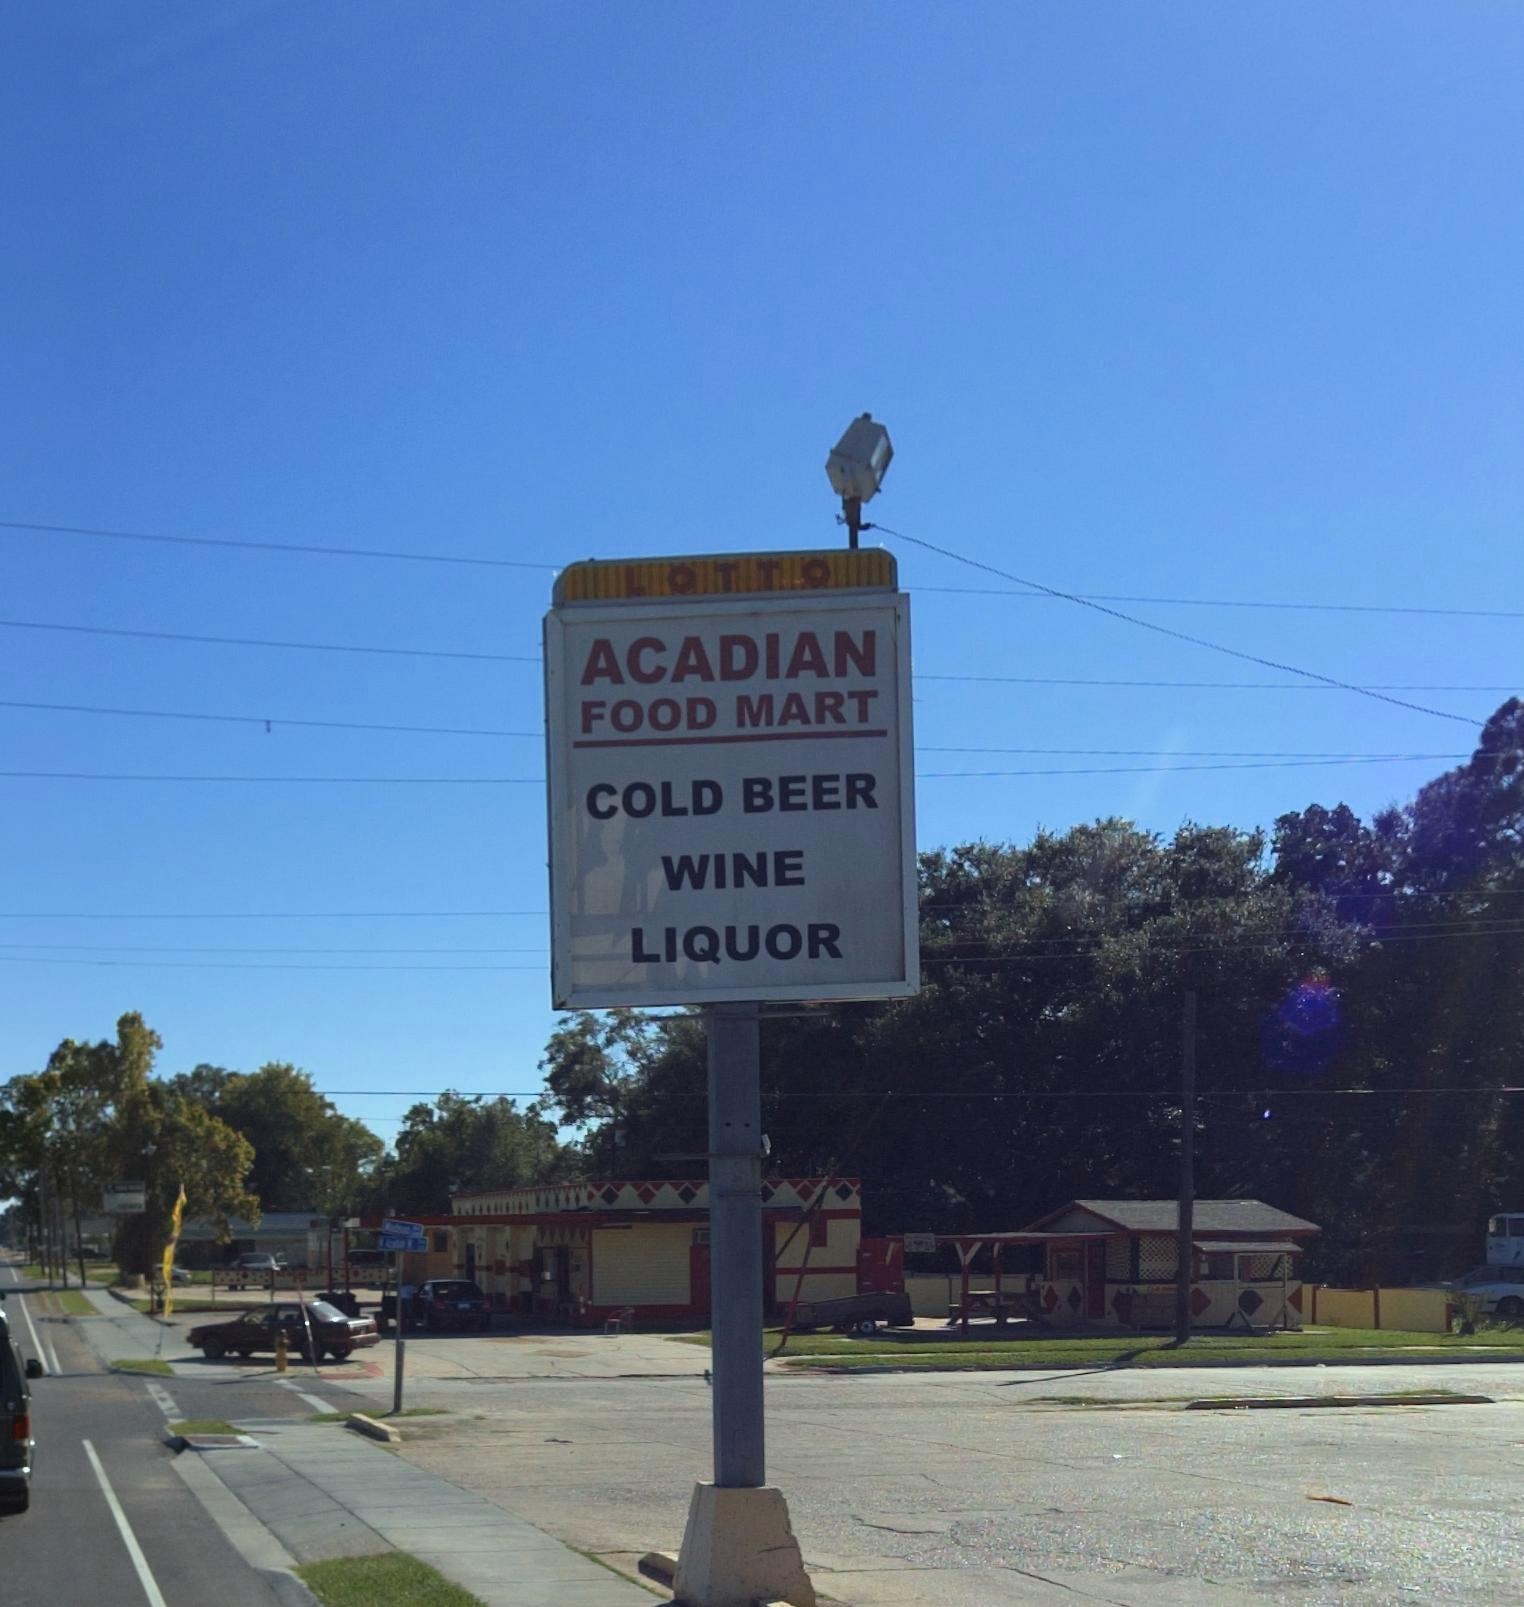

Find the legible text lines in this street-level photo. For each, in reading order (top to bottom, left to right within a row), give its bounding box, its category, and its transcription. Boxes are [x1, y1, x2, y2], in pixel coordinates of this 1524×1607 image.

[619, 551, 836, 601] None: LOTTO
[575, 627, 881, 688] BusinessName: ACADIAN
[579, 687, 882, 736] BusinessName: FOOD MART
[584, 770, 883, 823] None: COLD BEER
[658, 847, 809, 894] None: WINE
[629, 920, 846, 968] None: LIQUOR